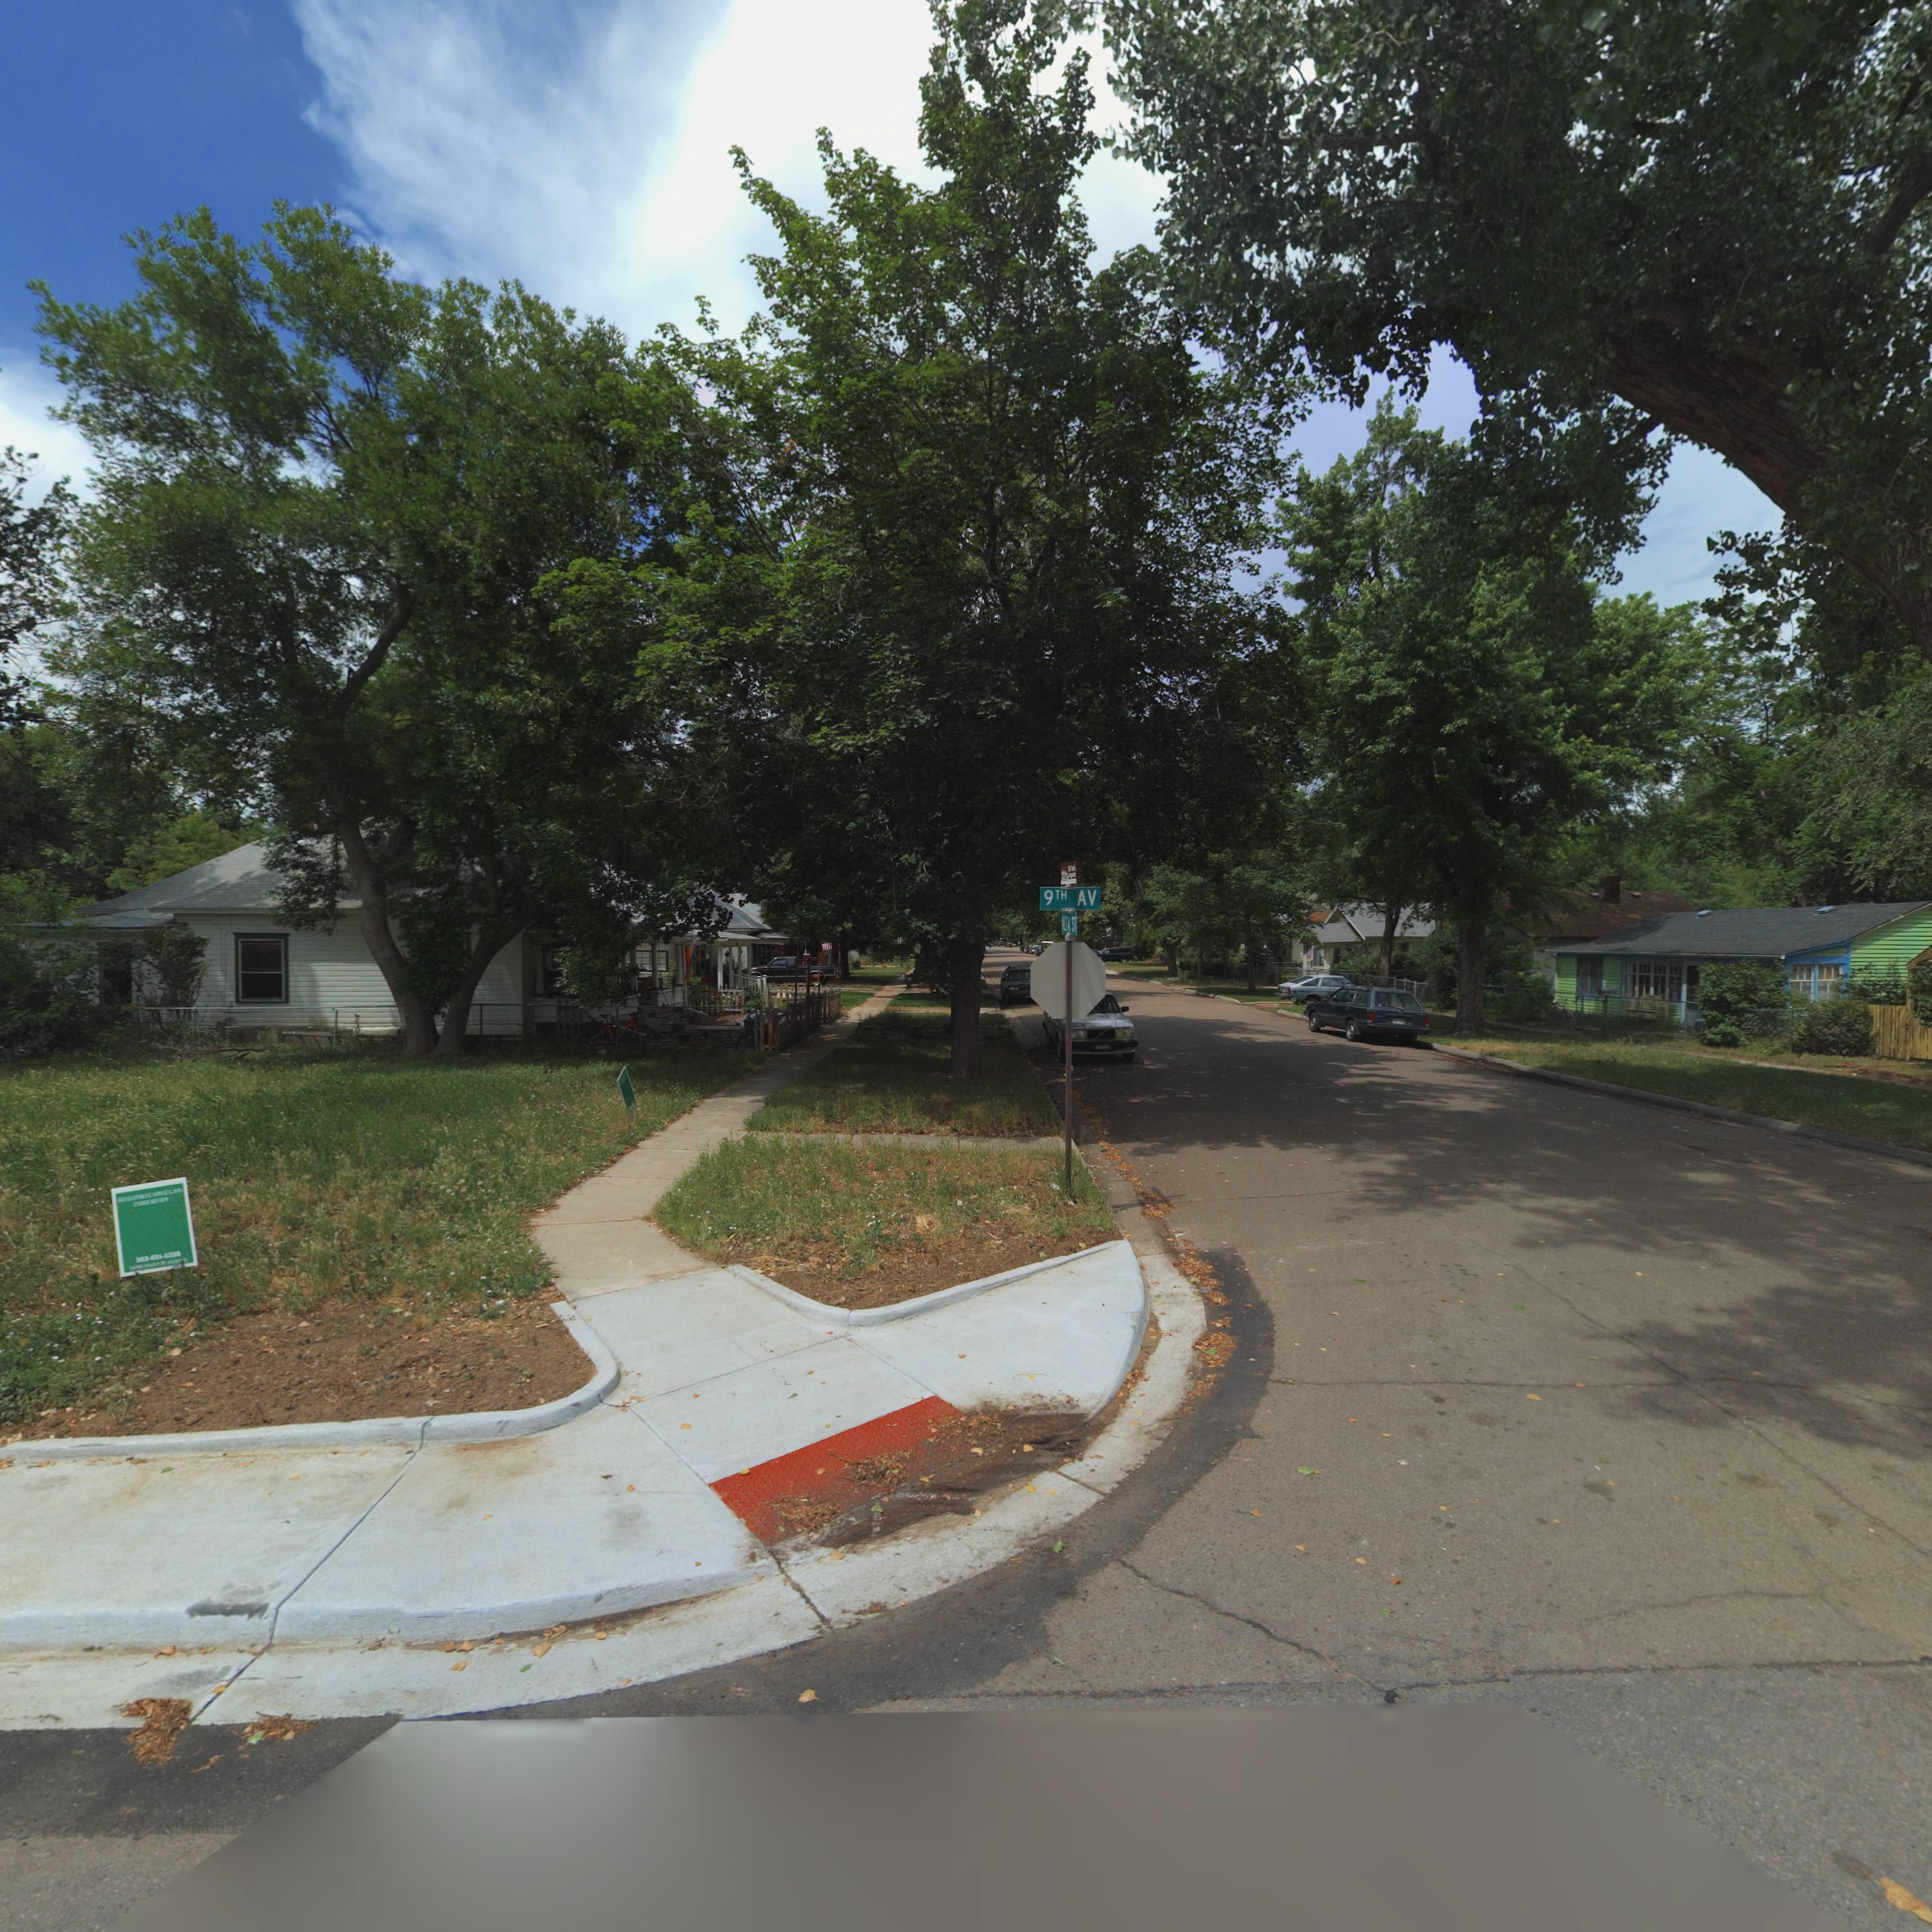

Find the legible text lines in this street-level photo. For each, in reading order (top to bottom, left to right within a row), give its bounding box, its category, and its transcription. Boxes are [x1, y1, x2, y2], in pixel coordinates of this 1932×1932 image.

[1043, 889, 1097, 906] StreetName: 9TH AV
[1062, 916, 1077, 933] StreetName: ALTA ST